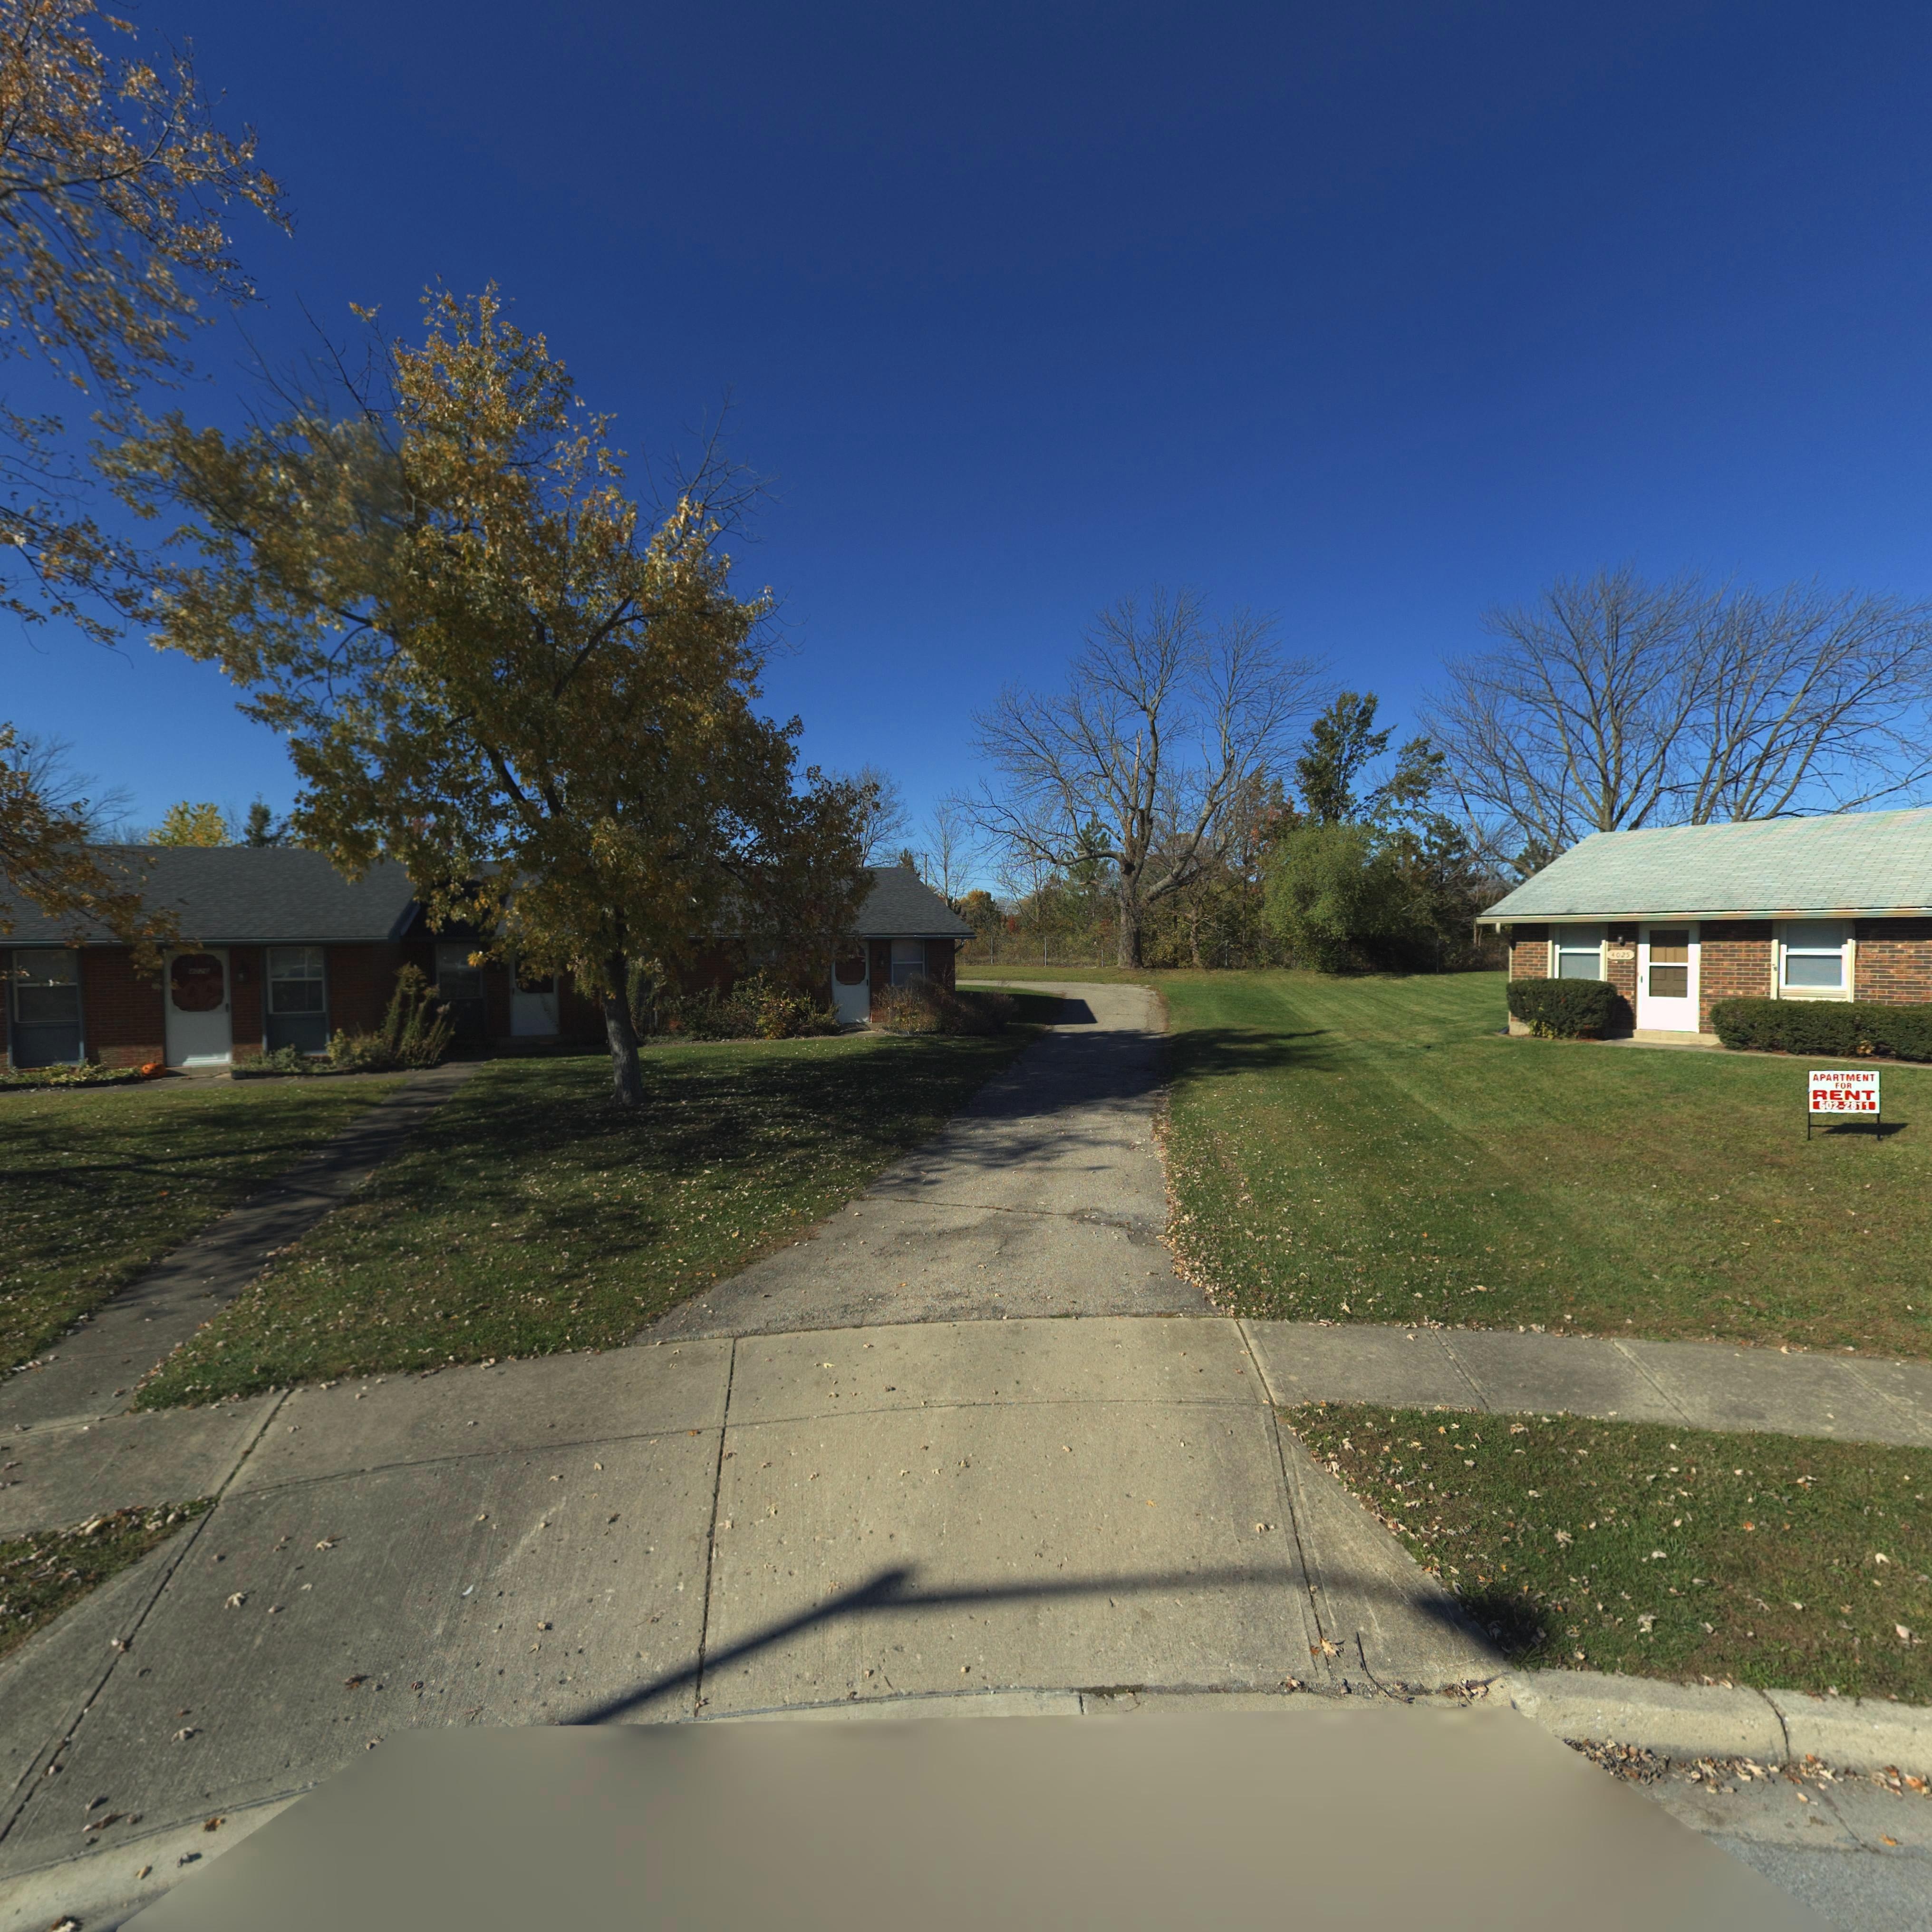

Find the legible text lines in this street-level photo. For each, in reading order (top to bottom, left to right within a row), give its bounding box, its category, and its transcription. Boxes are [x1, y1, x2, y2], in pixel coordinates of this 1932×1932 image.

[1610, 951, 1631, 958] StreetNumber: 4025
[188, 968, 212, 975] StreetNumber: 402*